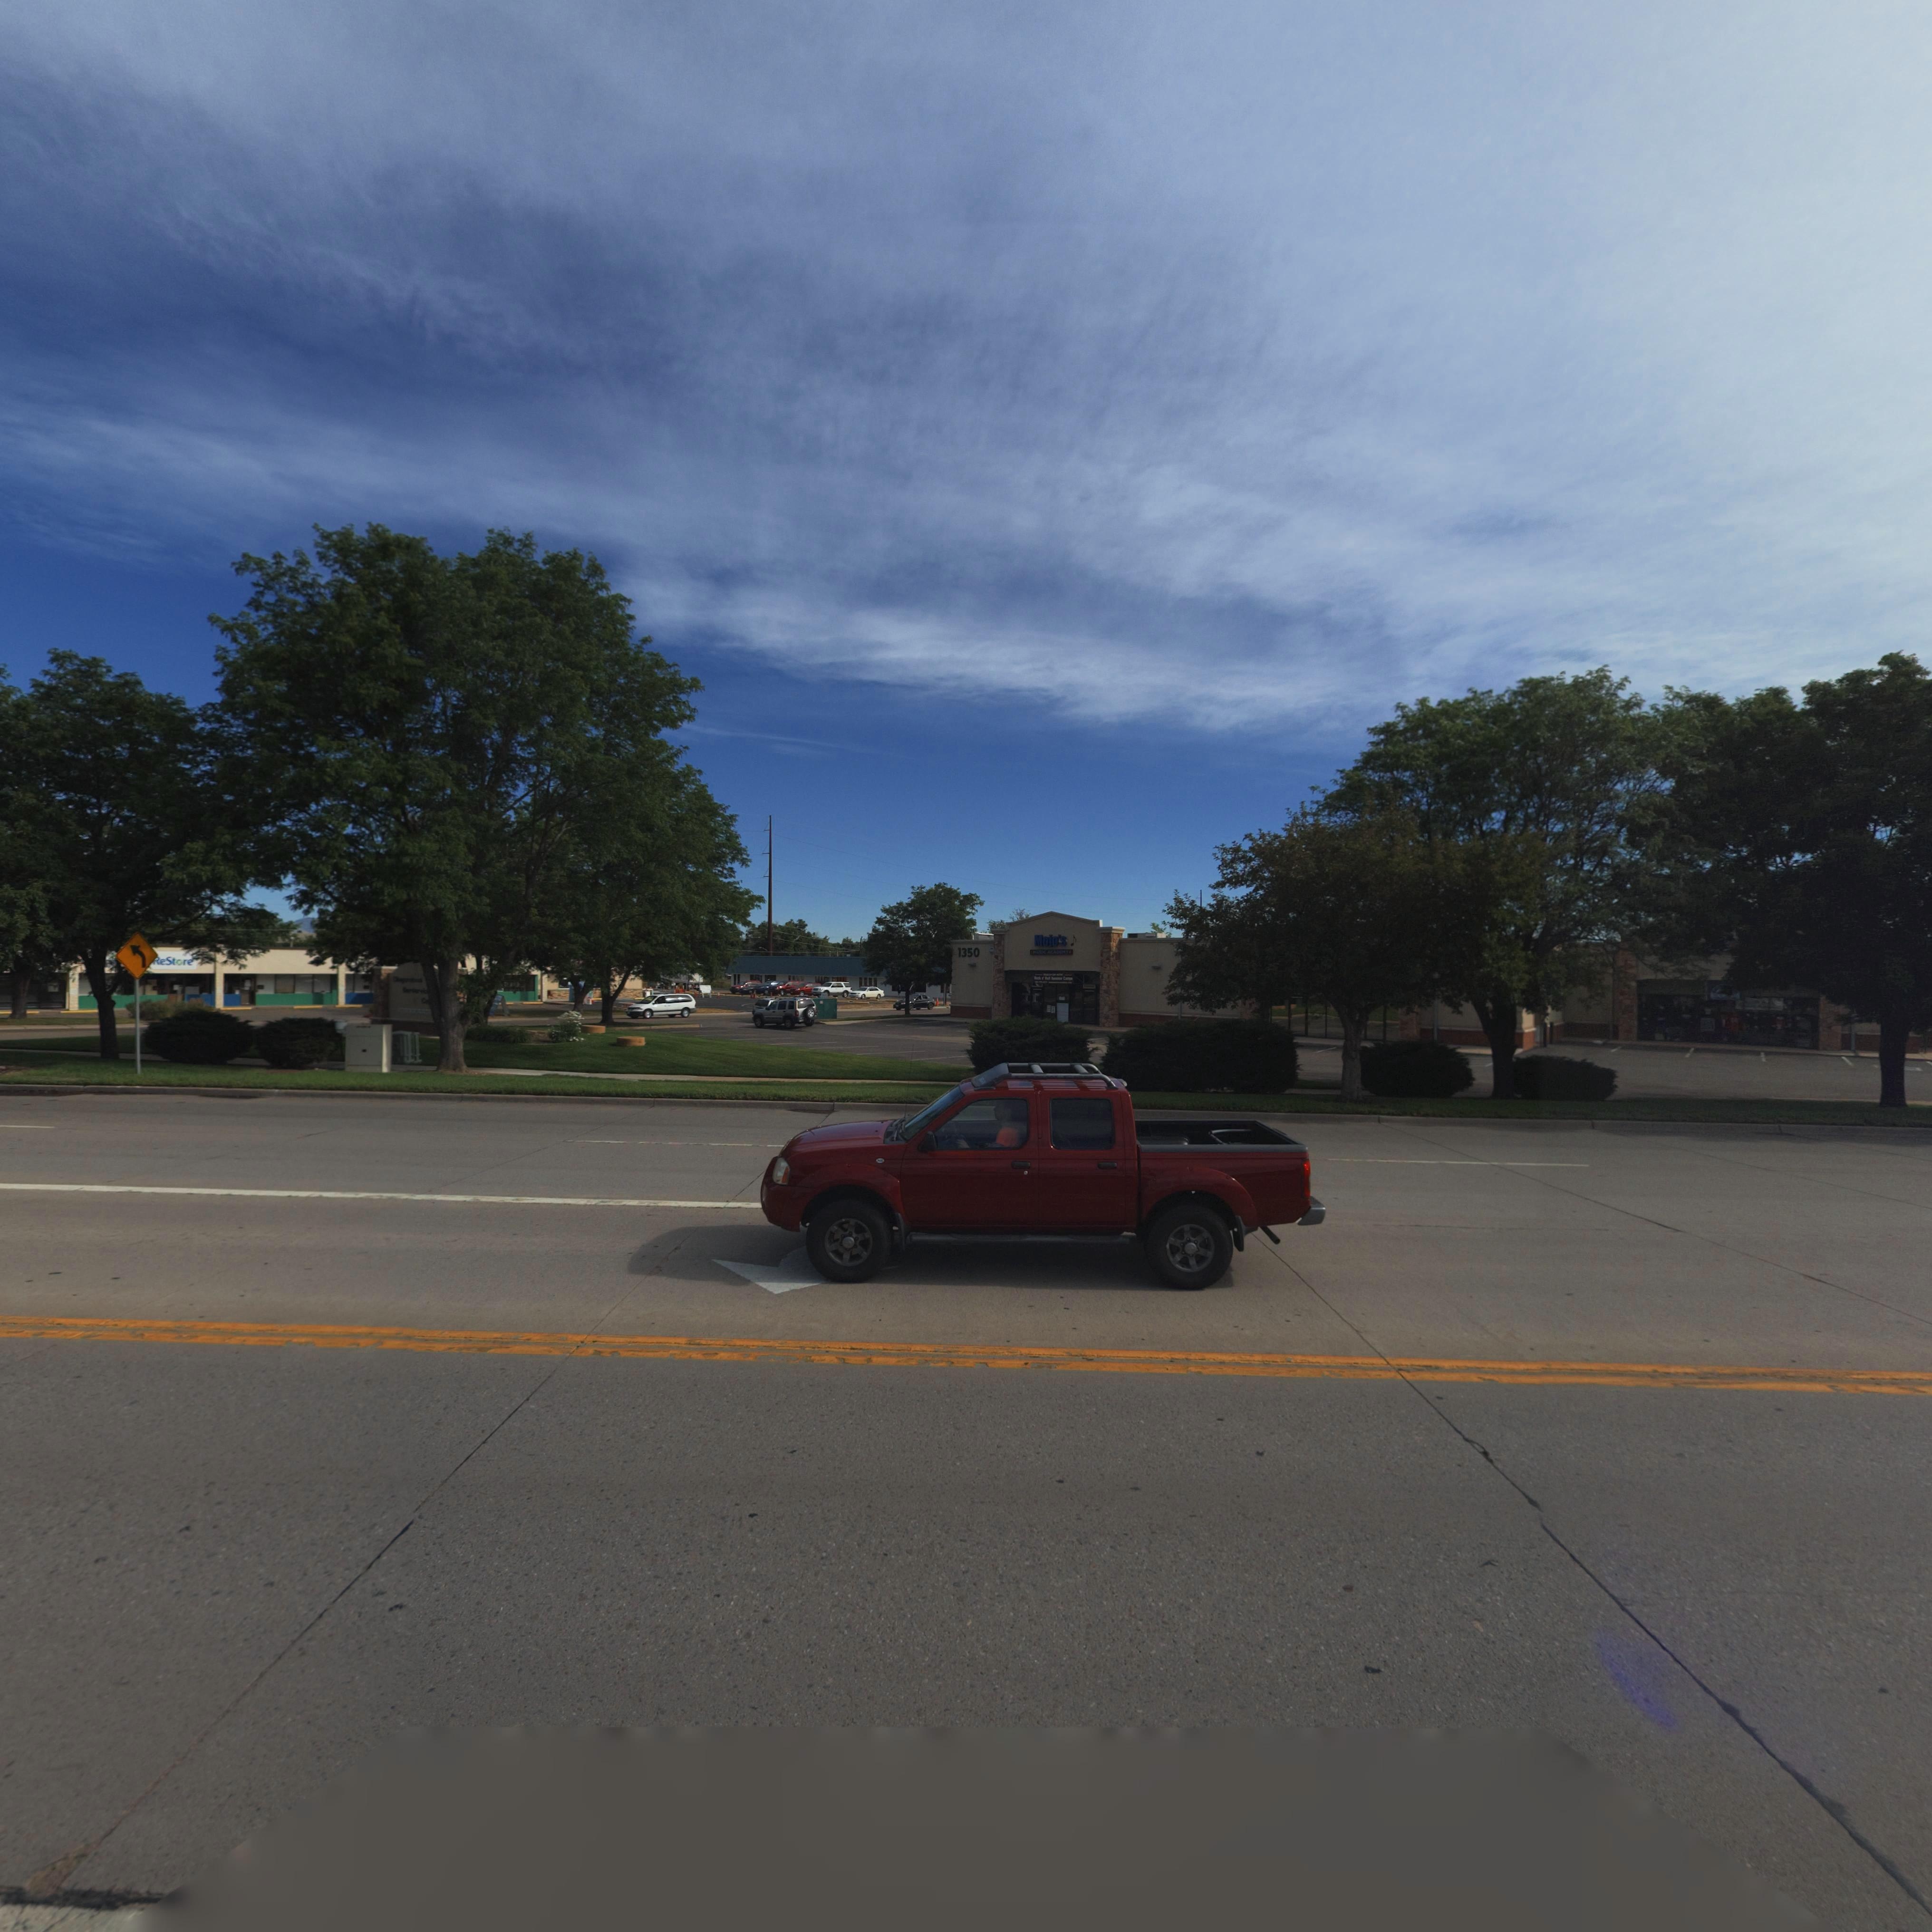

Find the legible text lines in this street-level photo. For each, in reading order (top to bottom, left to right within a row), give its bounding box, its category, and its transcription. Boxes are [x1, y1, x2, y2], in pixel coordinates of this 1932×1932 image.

[1034, 934, 1067, 947] BusinessName: Mojo's
[956, 945, 979, 958] StreetNumber: 1350
[1032, 949, 1068, 954] BusinessName: MUSIC ACADEMY